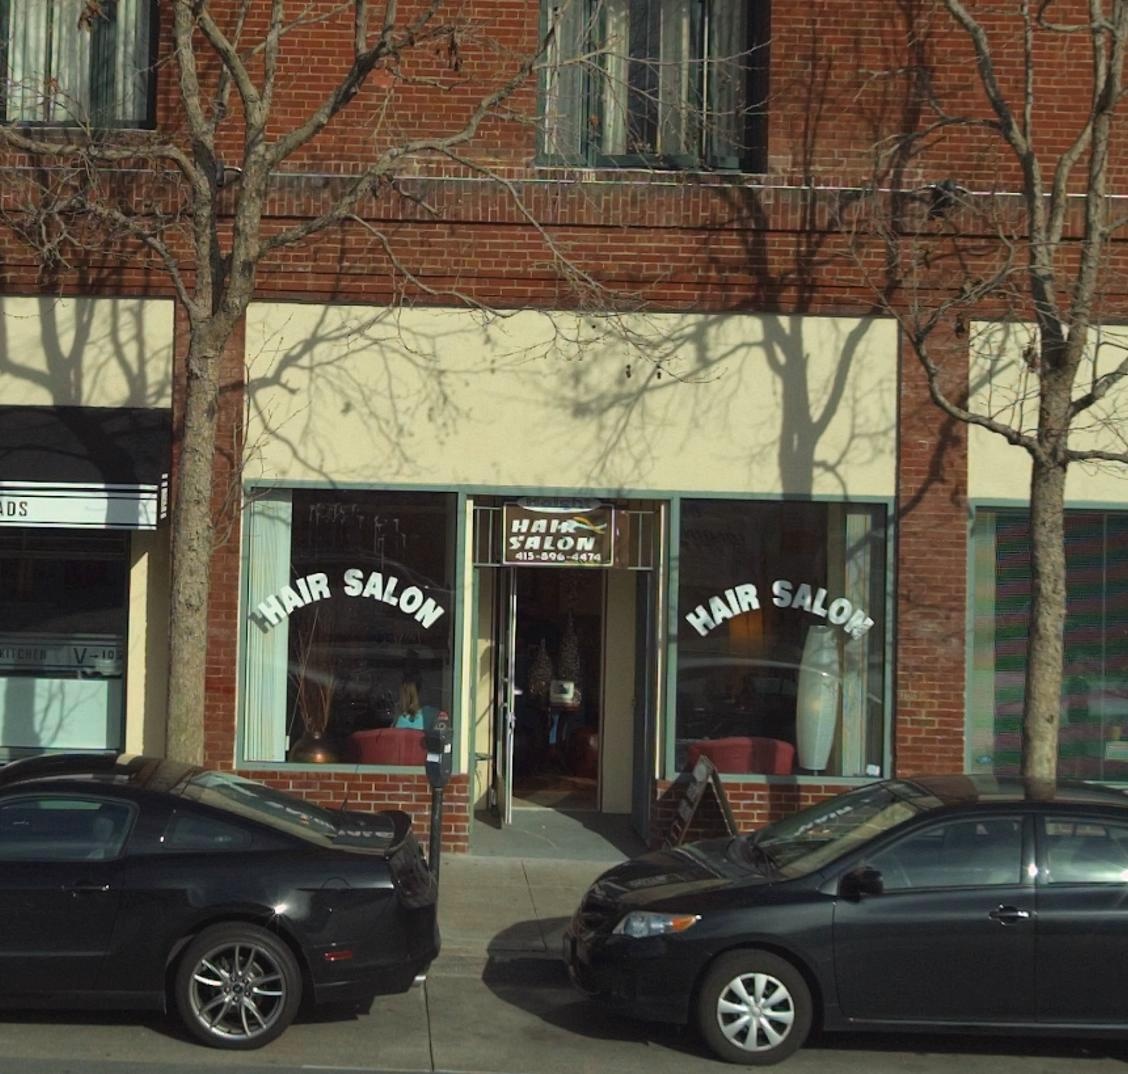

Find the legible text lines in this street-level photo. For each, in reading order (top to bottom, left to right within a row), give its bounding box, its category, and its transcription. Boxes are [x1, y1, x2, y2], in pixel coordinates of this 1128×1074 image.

[3, 497, 31, 519] None: DS
[508, 516, 580, 535] BusinessName: HAIR
[505, 532, 599, 553] BusinessName: SALON
[512, 549, 604, 564] None: 415-596-4474
[250, 563, 450, 633] BusinessName: HAIR SALON
[678, 575, 880, 644] BusinessName: HAIR SALON
[4, 645, 49, 662] None: ITCHEN
[71, 645, 91, 667] None: V